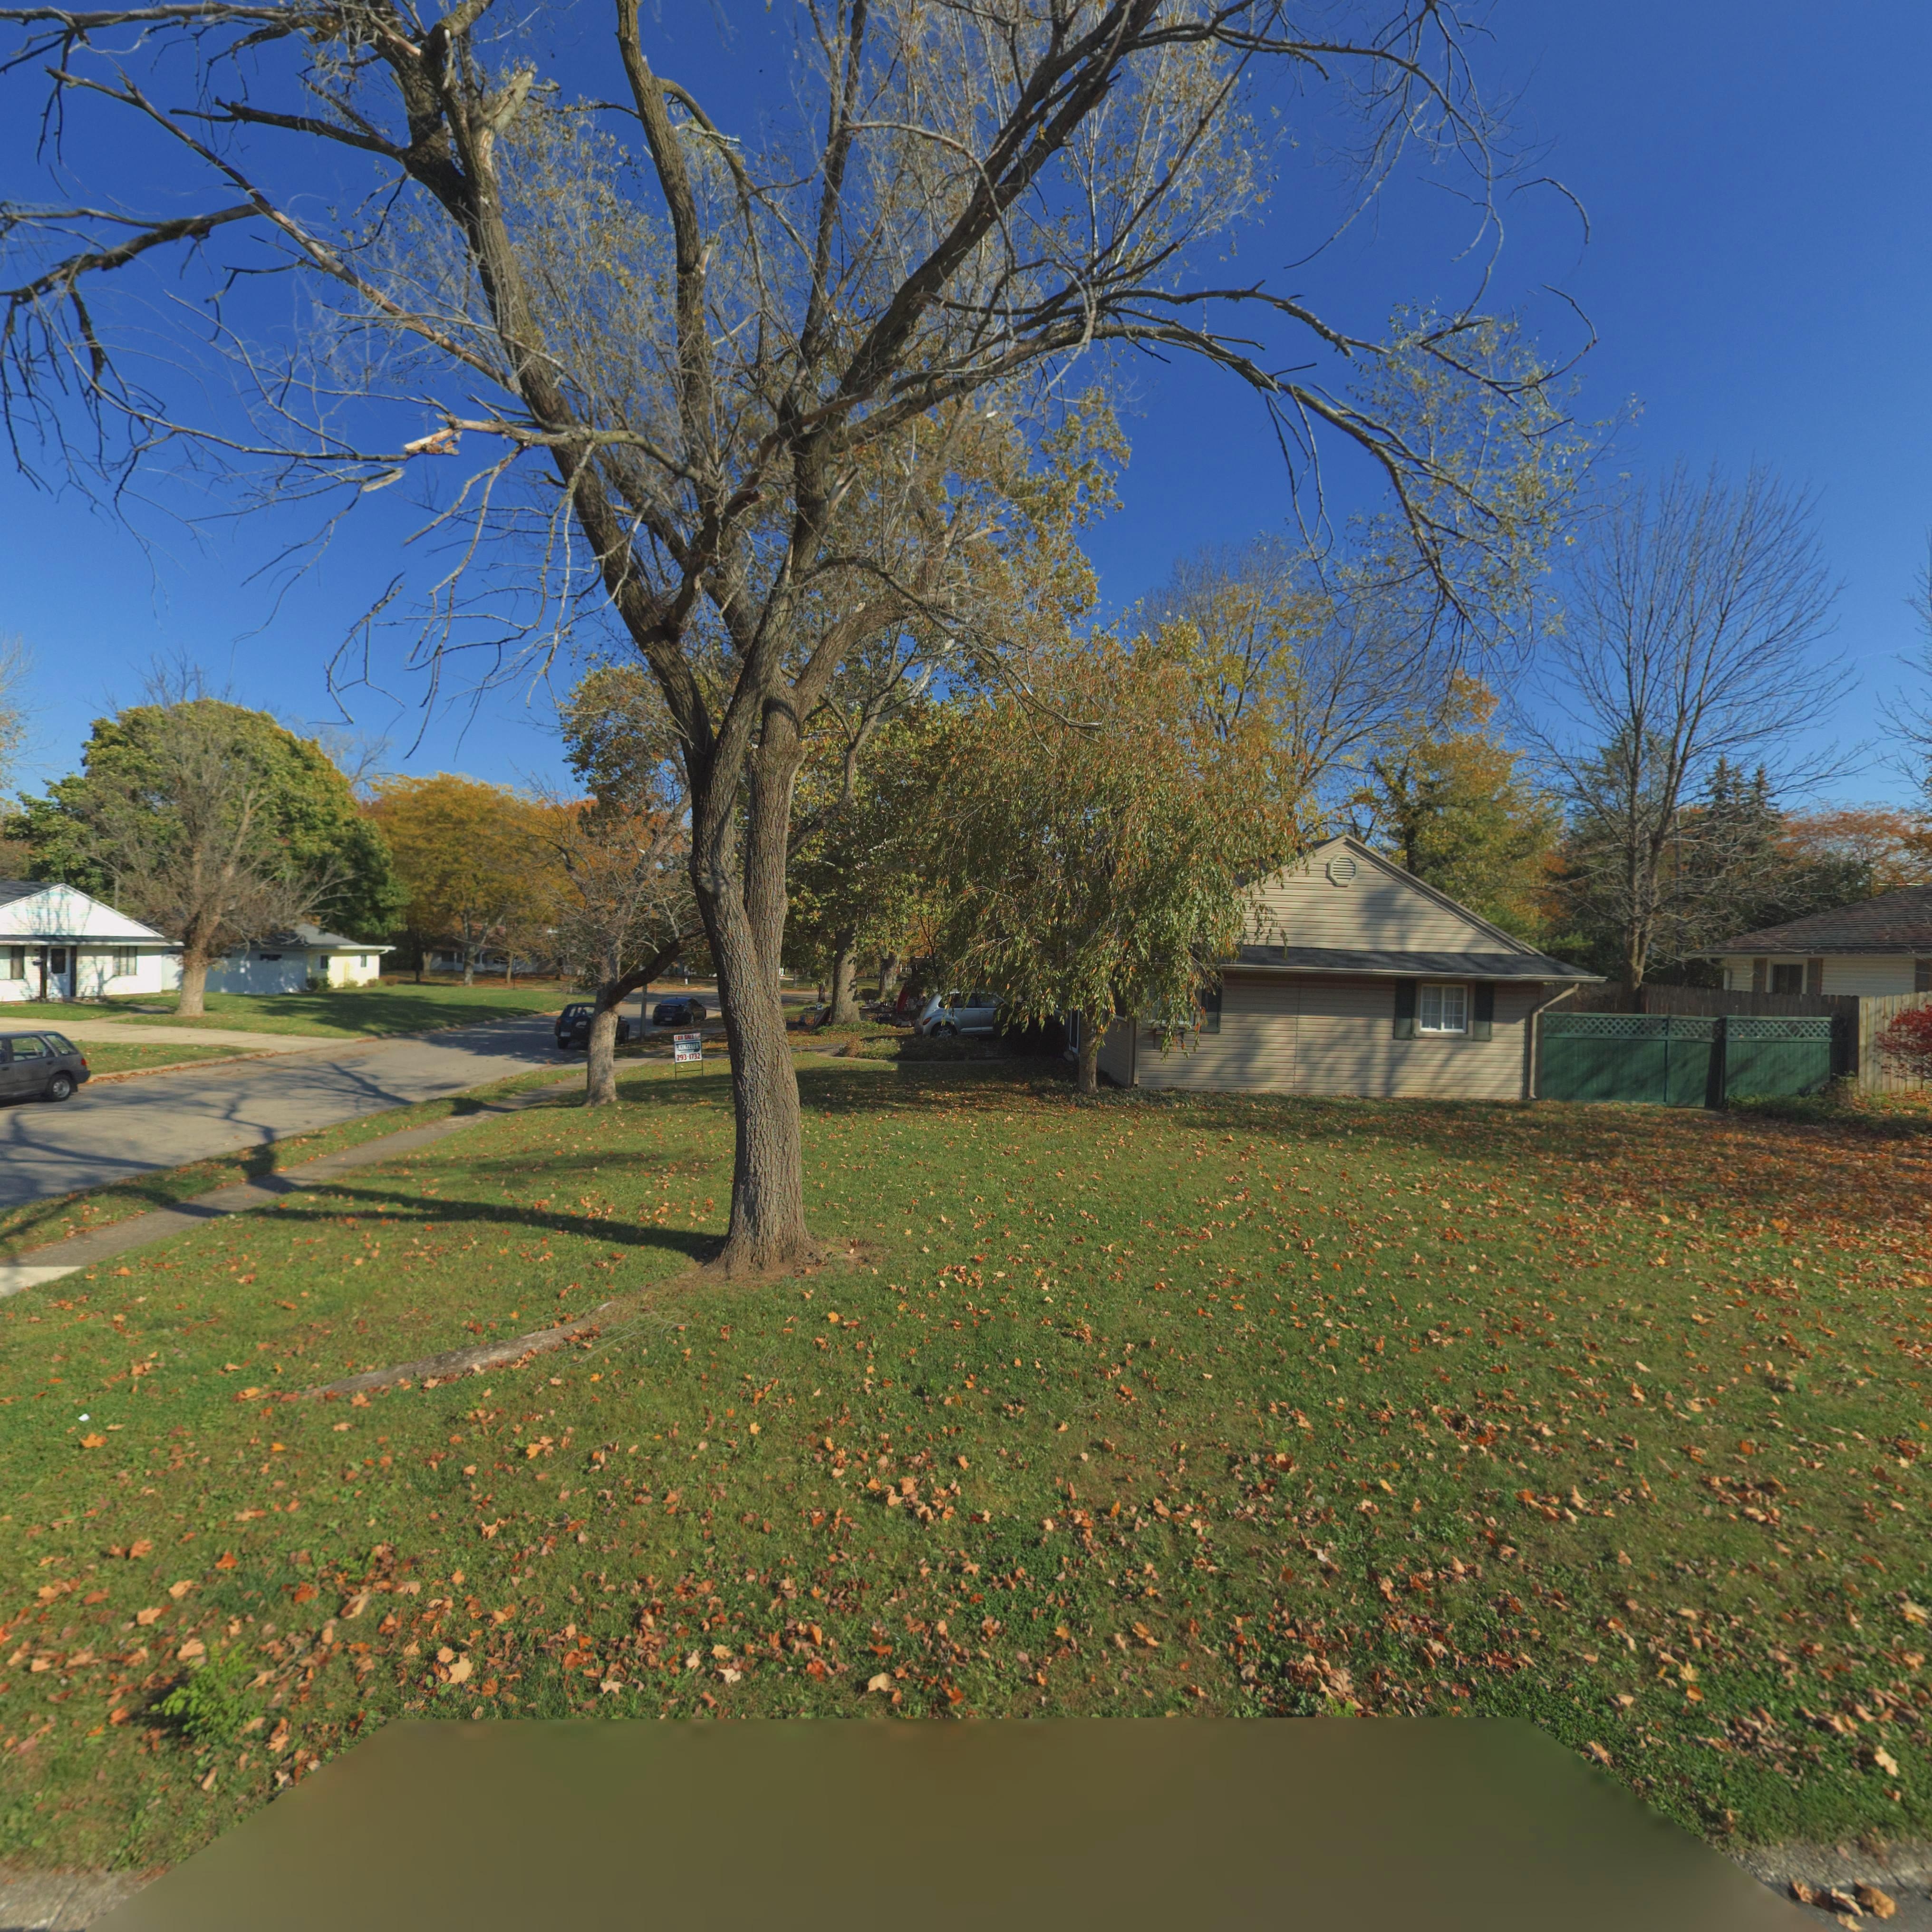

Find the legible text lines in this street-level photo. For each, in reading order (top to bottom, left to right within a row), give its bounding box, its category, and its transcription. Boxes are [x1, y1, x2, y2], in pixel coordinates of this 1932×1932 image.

[675, 1034, 694, 1041] None: FOR SALE
[678, 1043, 699, 1051] None: KINZELER
[676, 1053, 701, 1061] None: 293-1732